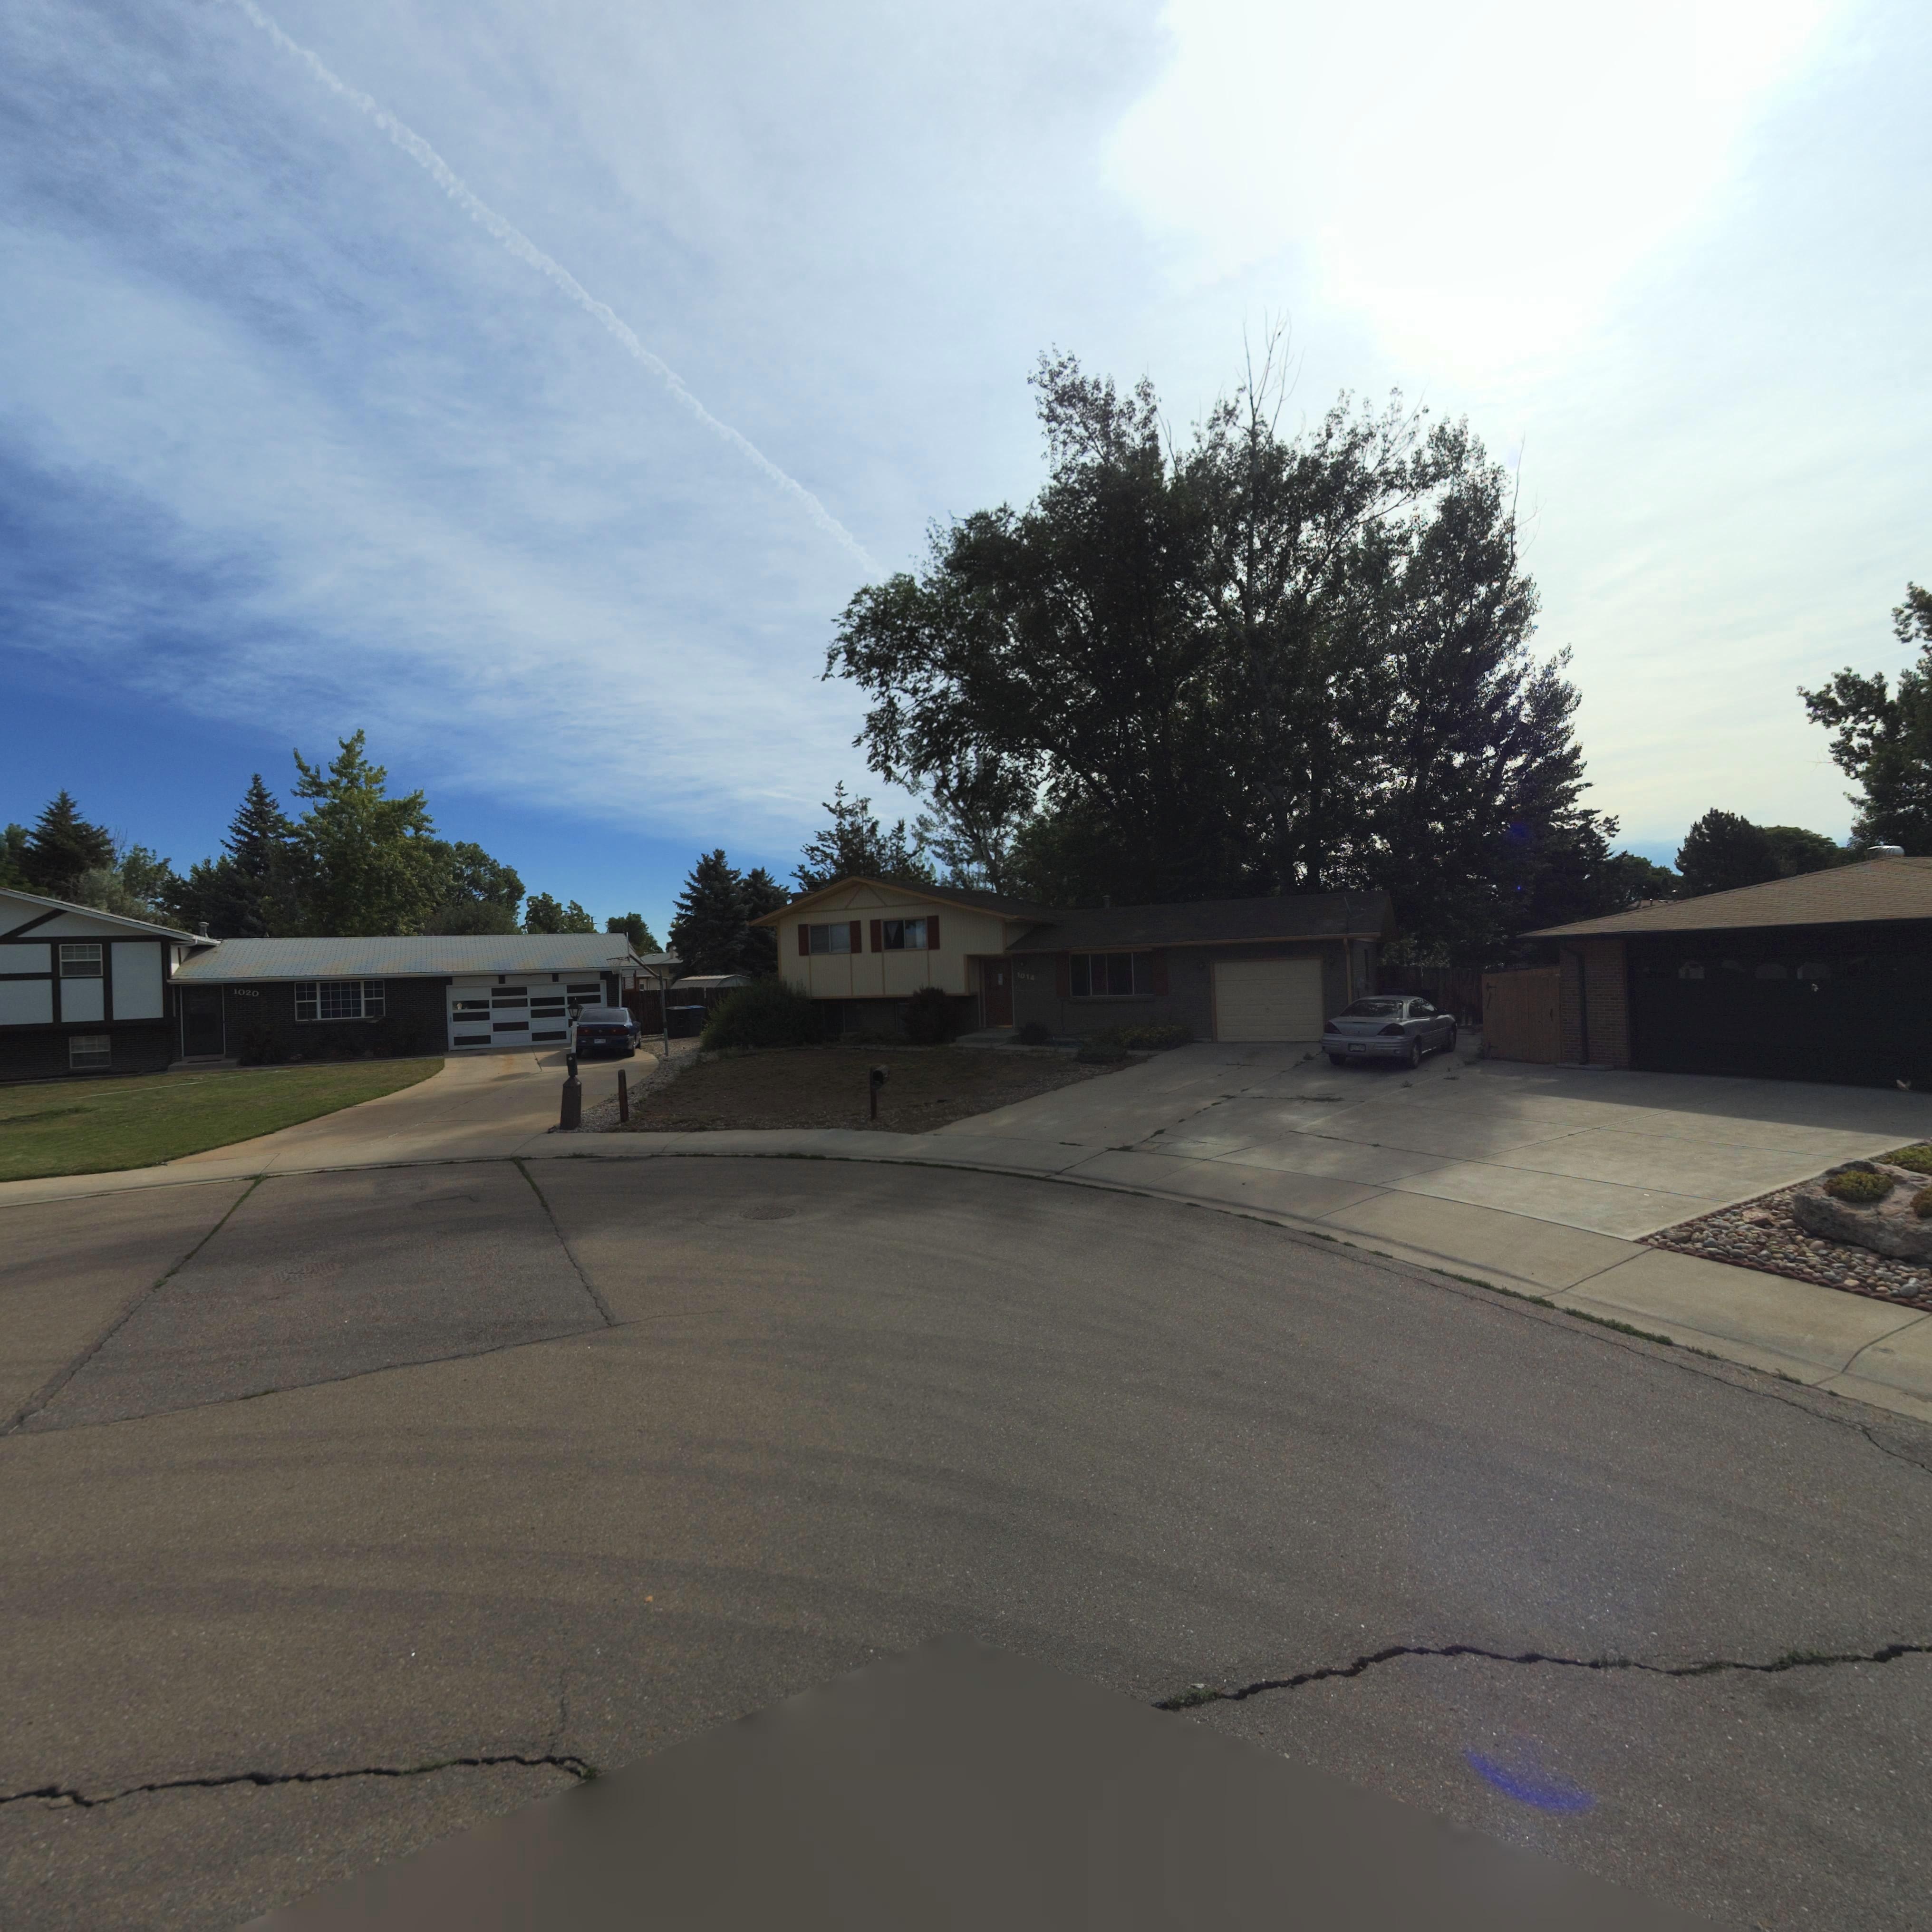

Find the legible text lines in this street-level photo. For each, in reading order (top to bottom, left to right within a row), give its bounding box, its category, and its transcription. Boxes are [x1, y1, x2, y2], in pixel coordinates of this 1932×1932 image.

[1017, 971, 1035, 981] StreetNumber: 1014
[233, 988, 259, 997] StreetNumber: 1020